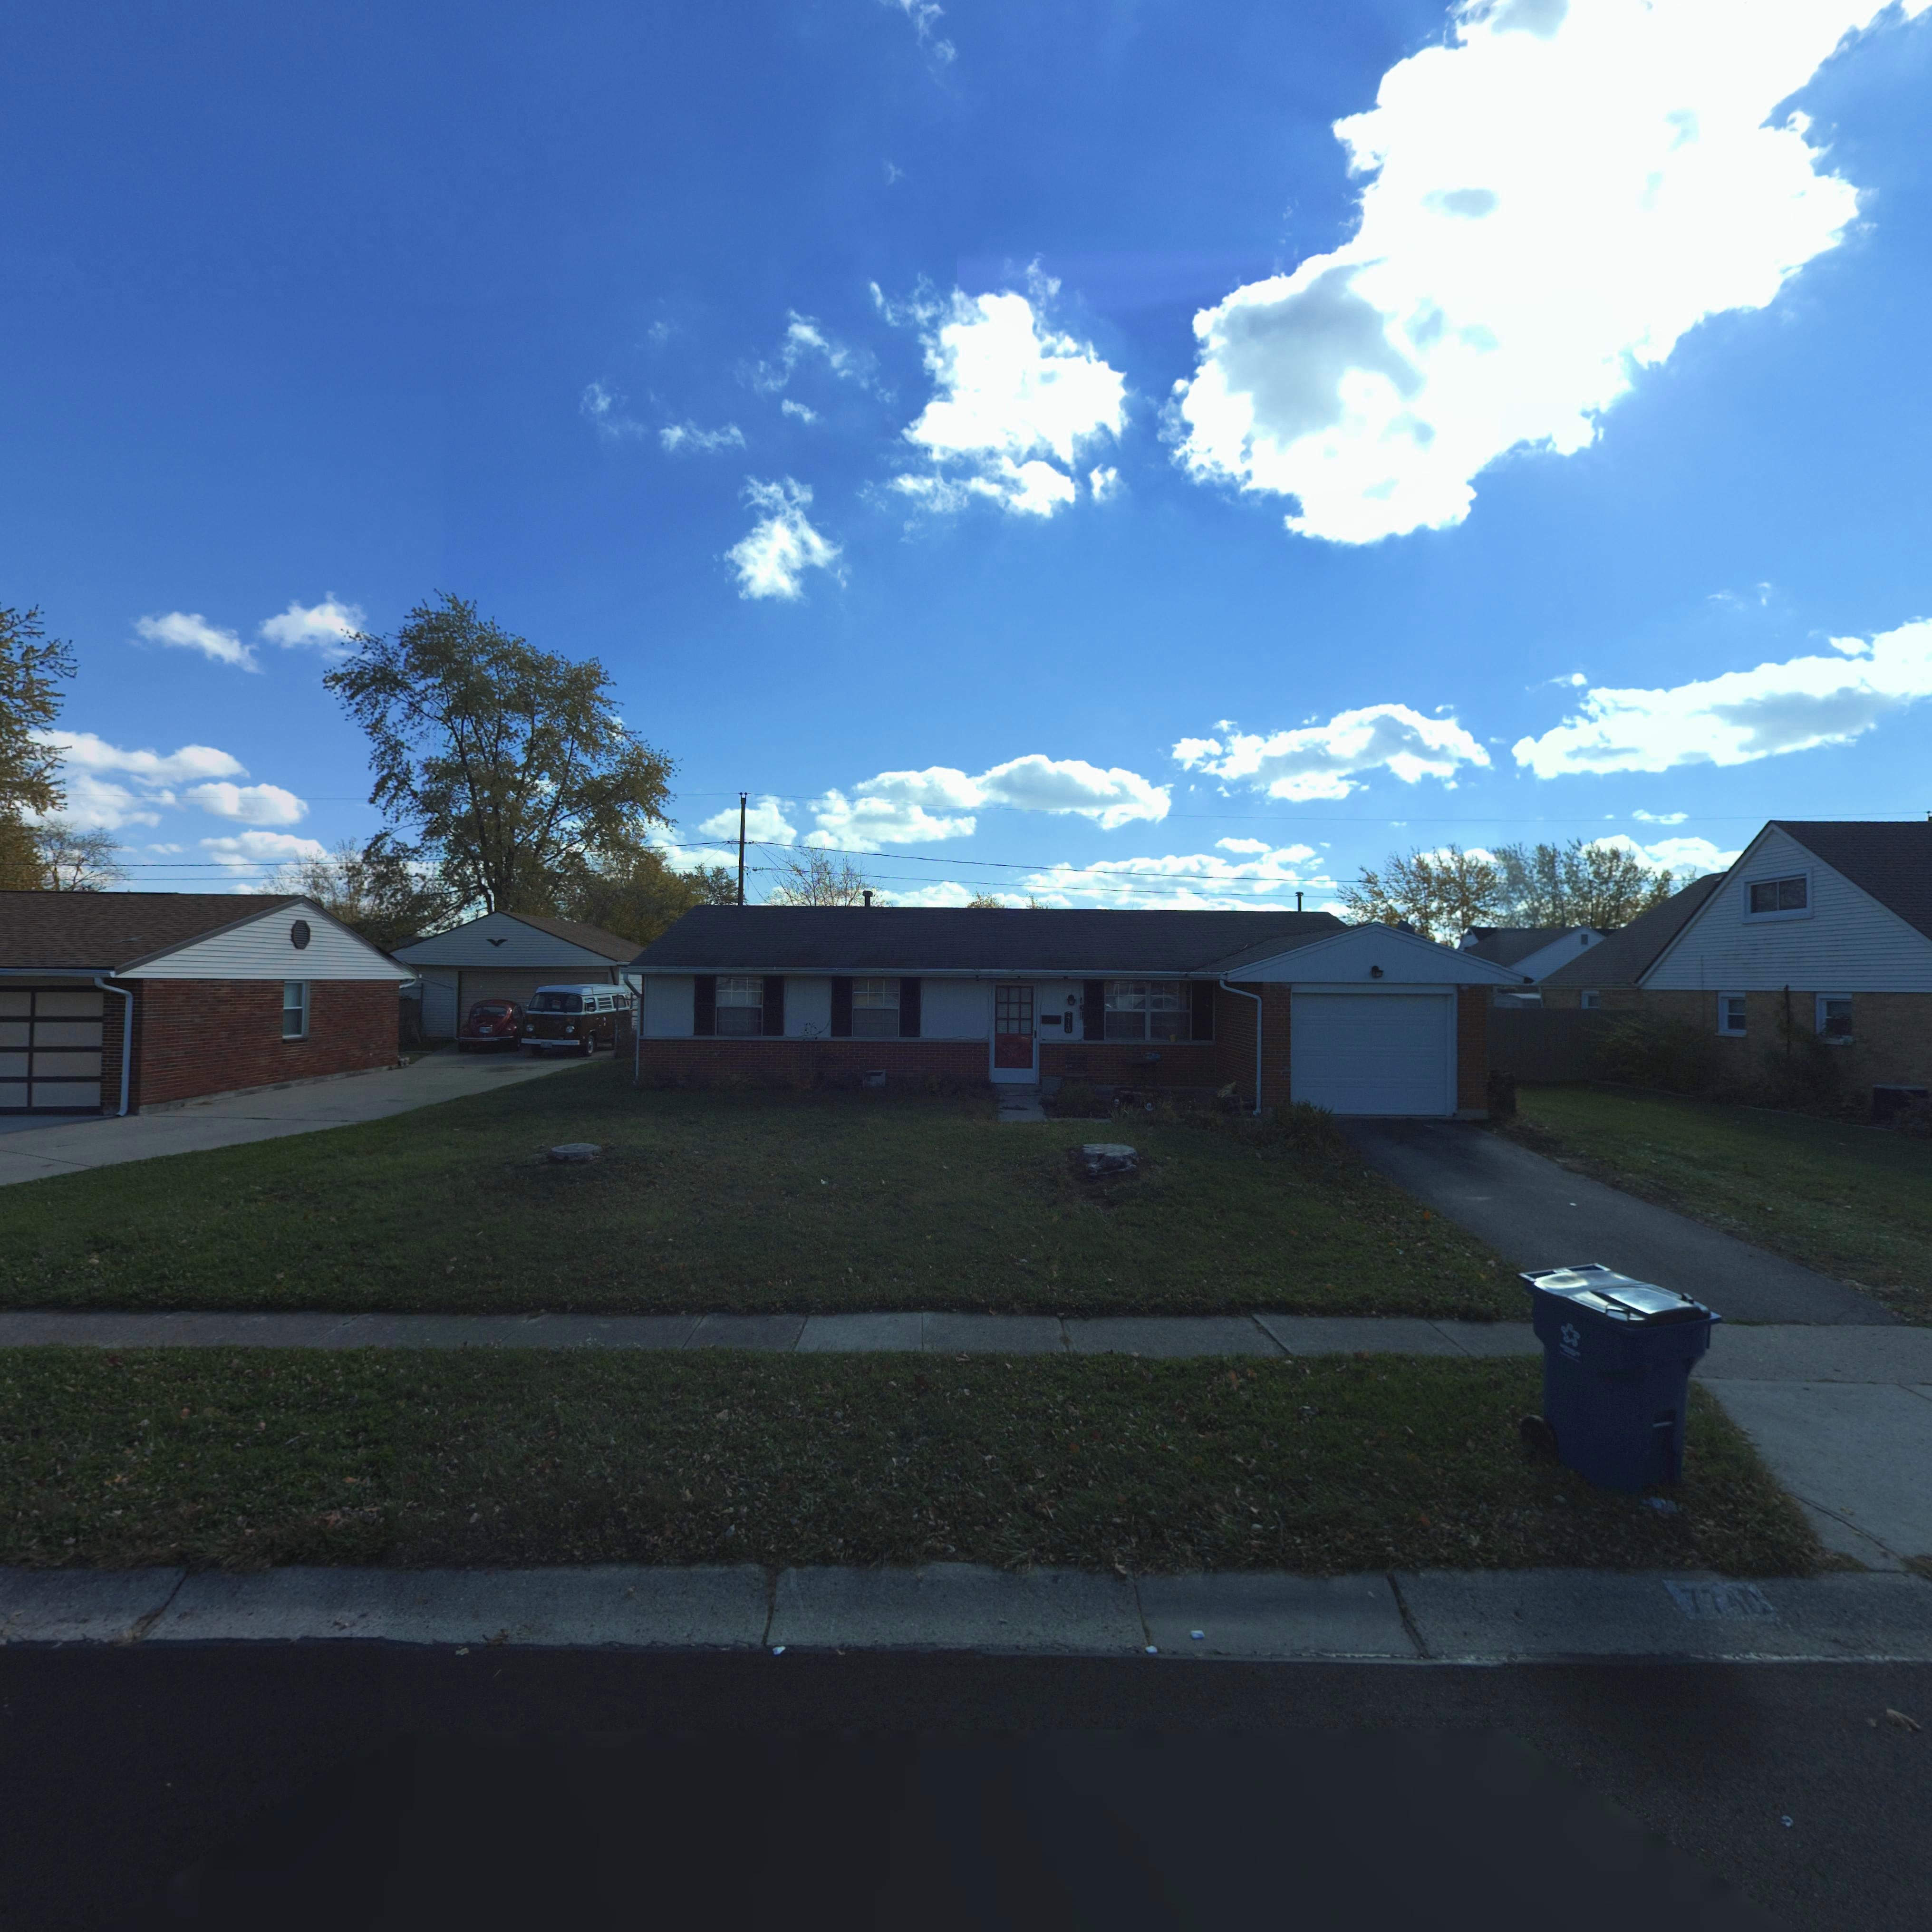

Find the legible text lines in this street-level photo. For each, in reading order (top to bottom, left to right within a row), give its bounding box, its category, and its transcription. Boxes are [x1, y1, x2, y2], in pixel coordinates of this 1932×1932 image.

[1065, 1011, 1072, 1034] StreetNumber: 7740
[1677, 1586, 1770, 1616] StreetNumber: 7740